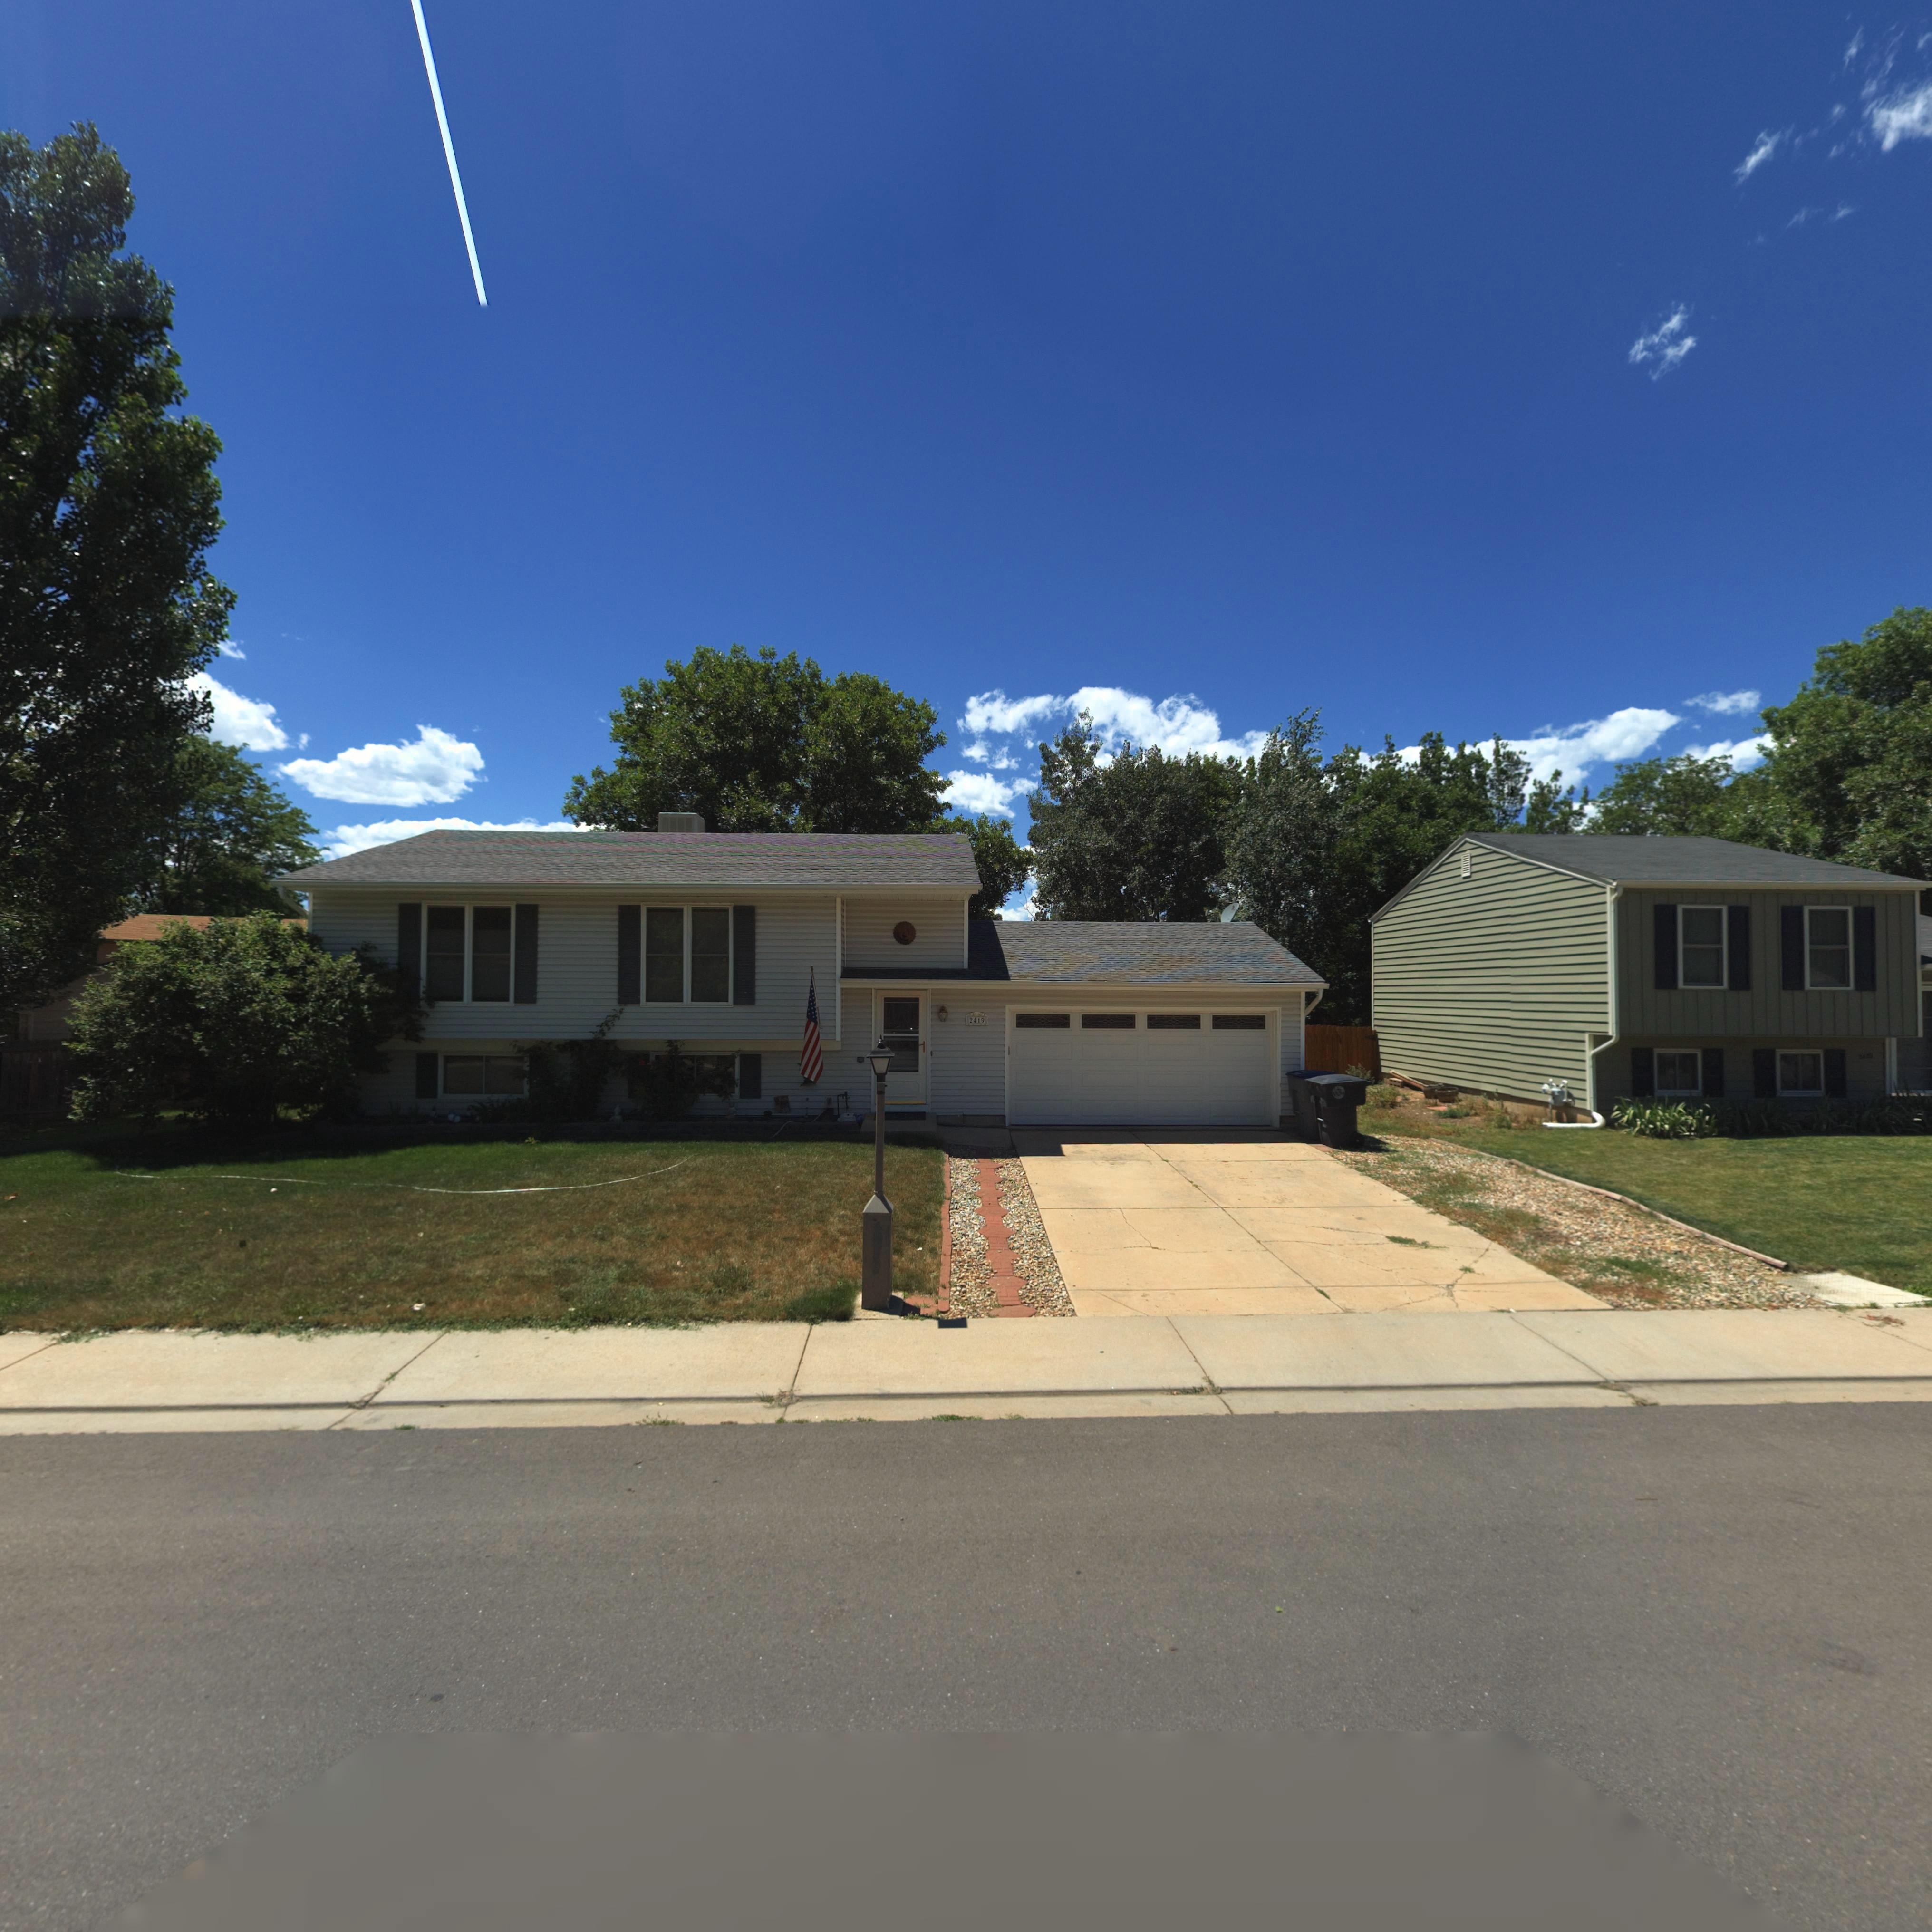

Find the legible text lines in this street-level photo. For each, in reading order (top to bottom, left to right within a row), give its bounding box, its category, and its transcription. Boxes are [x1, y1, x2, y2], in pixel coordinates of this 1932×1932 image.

[968, 1017, 985, 1023] StreetNumber: 2419
[1857, 1052, 1873, 1060] StreetNumber: 24**